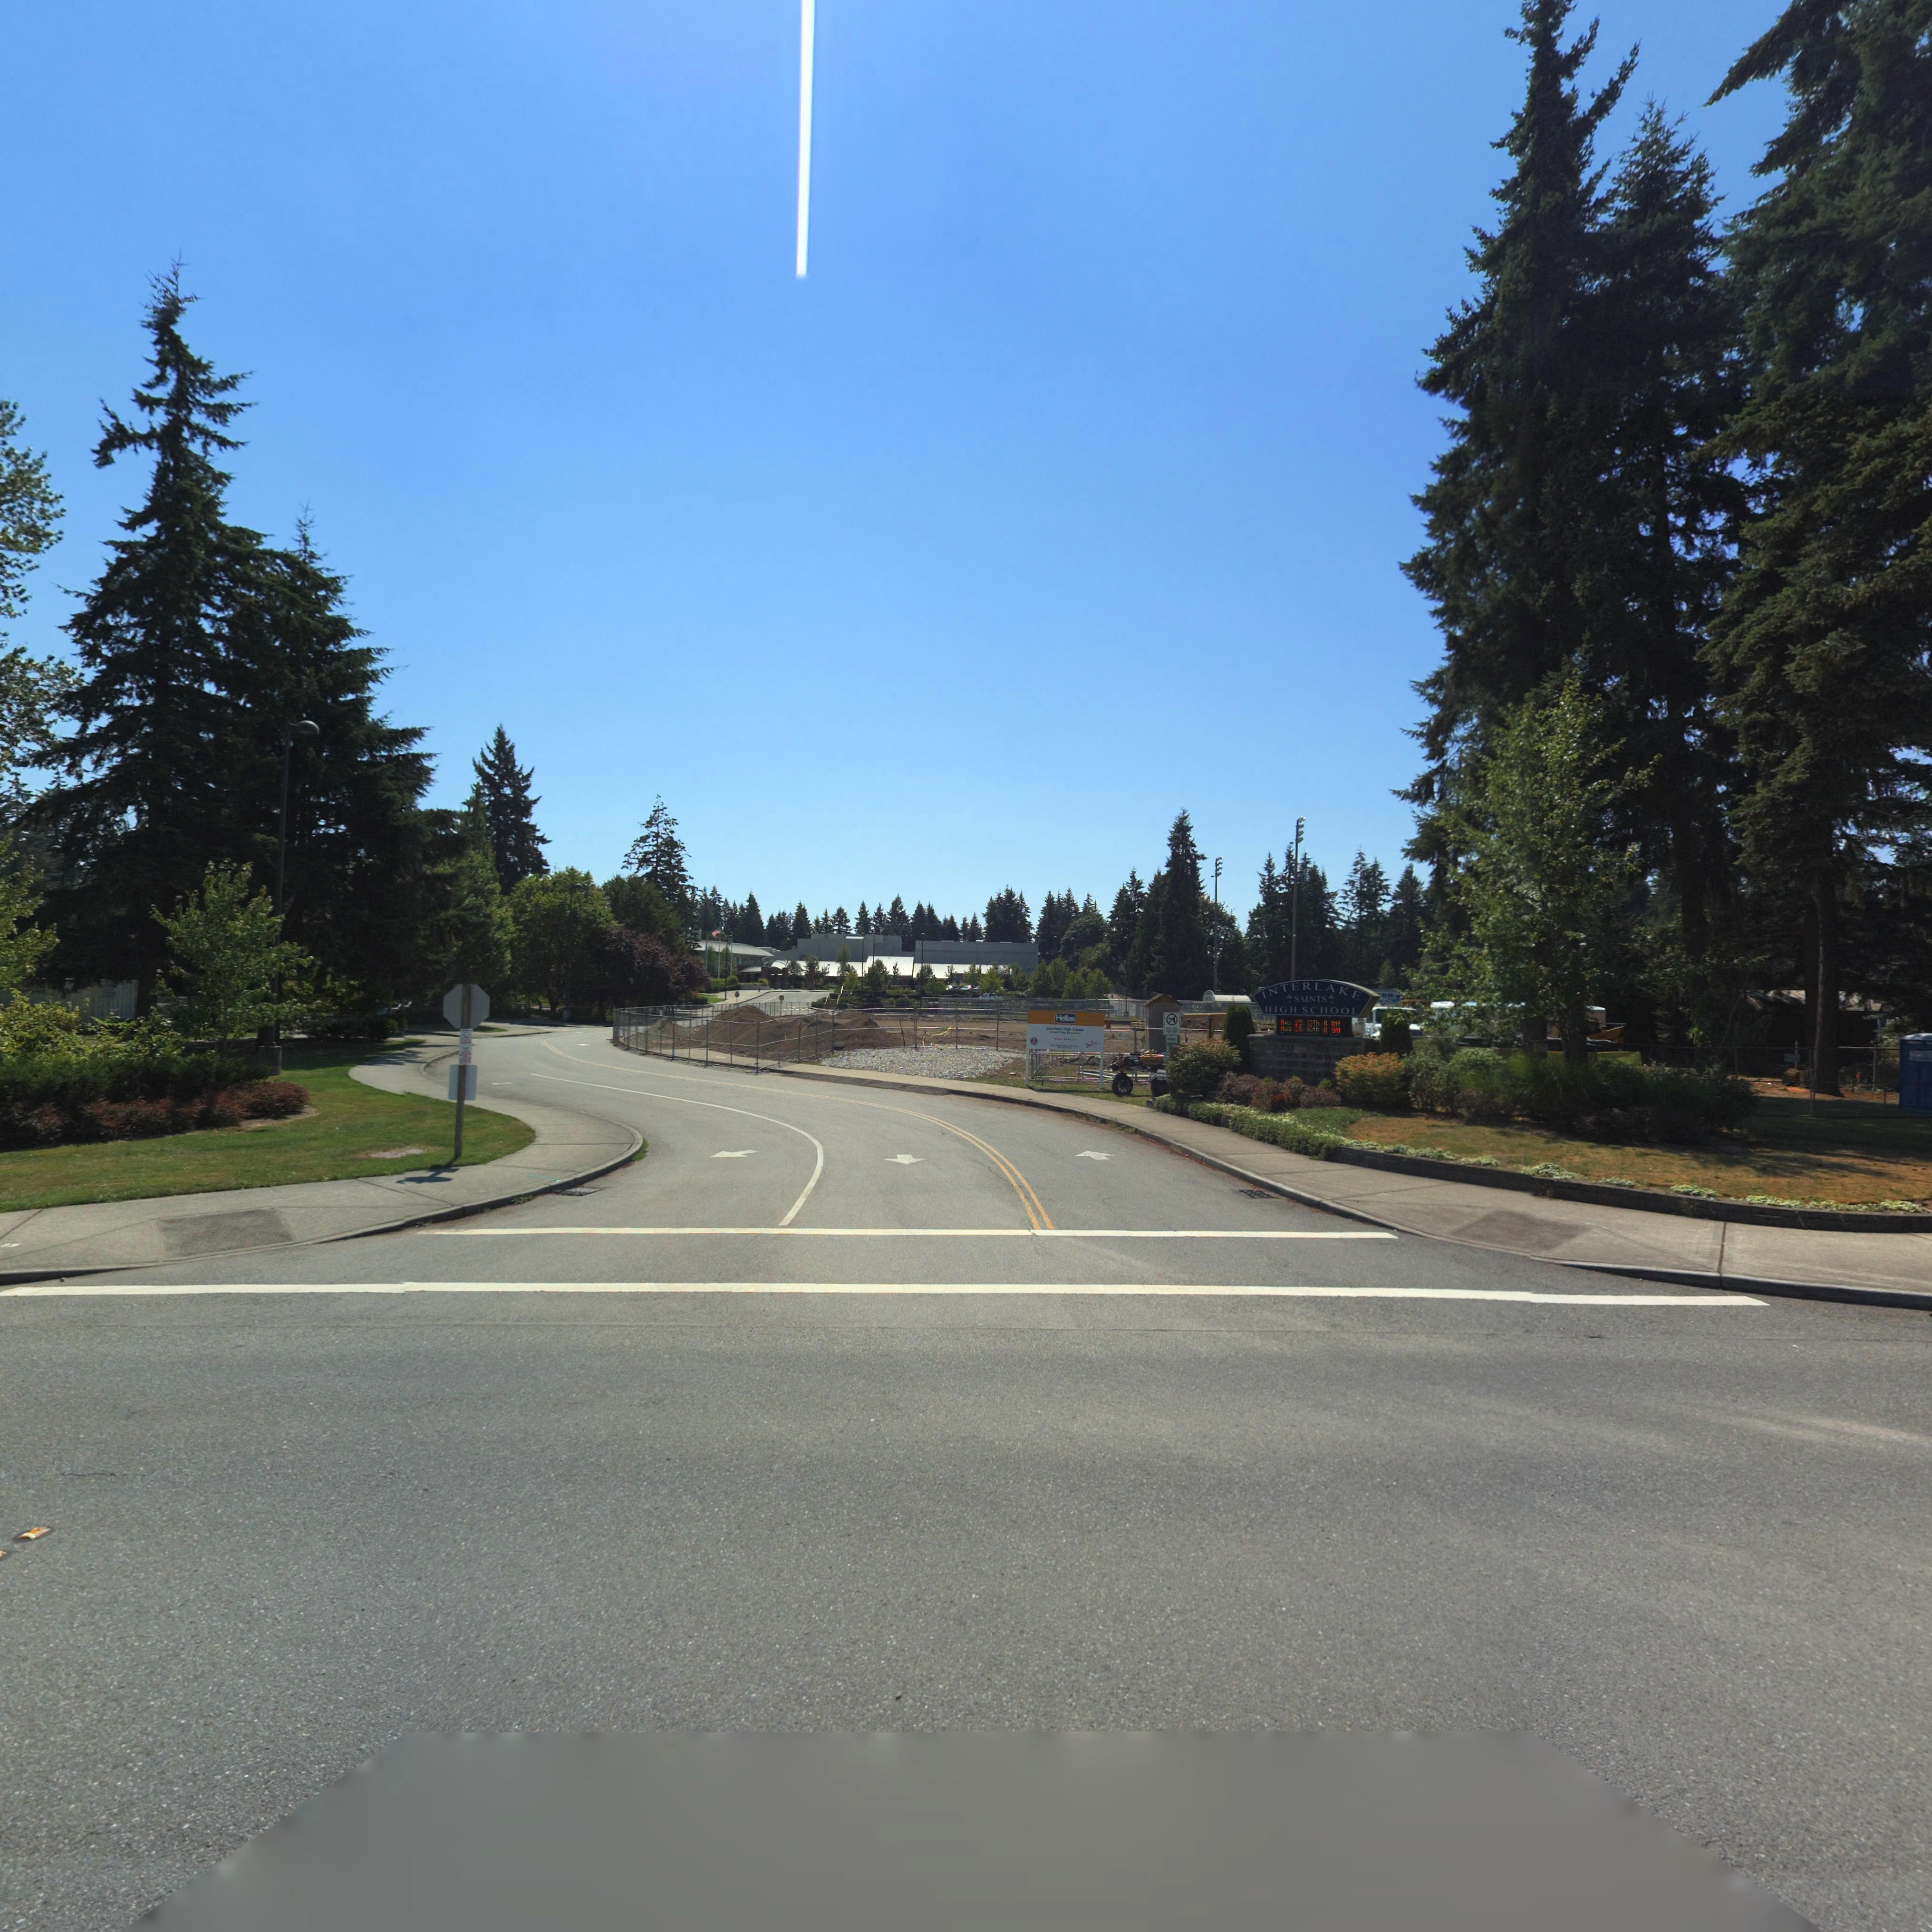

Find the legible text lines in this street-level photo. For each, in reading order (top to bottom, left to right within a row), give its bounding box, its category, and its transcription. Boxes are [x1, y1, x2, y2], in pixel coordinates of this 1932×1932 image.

[1261, 982, 1363, 1001] BusinessName: INTERLAKE
[1294, 995, 1326, 1002] BusinessName: SAINTS
[1265, 1005, 1358, 1014] BusinessName: HIGH SCHOOL